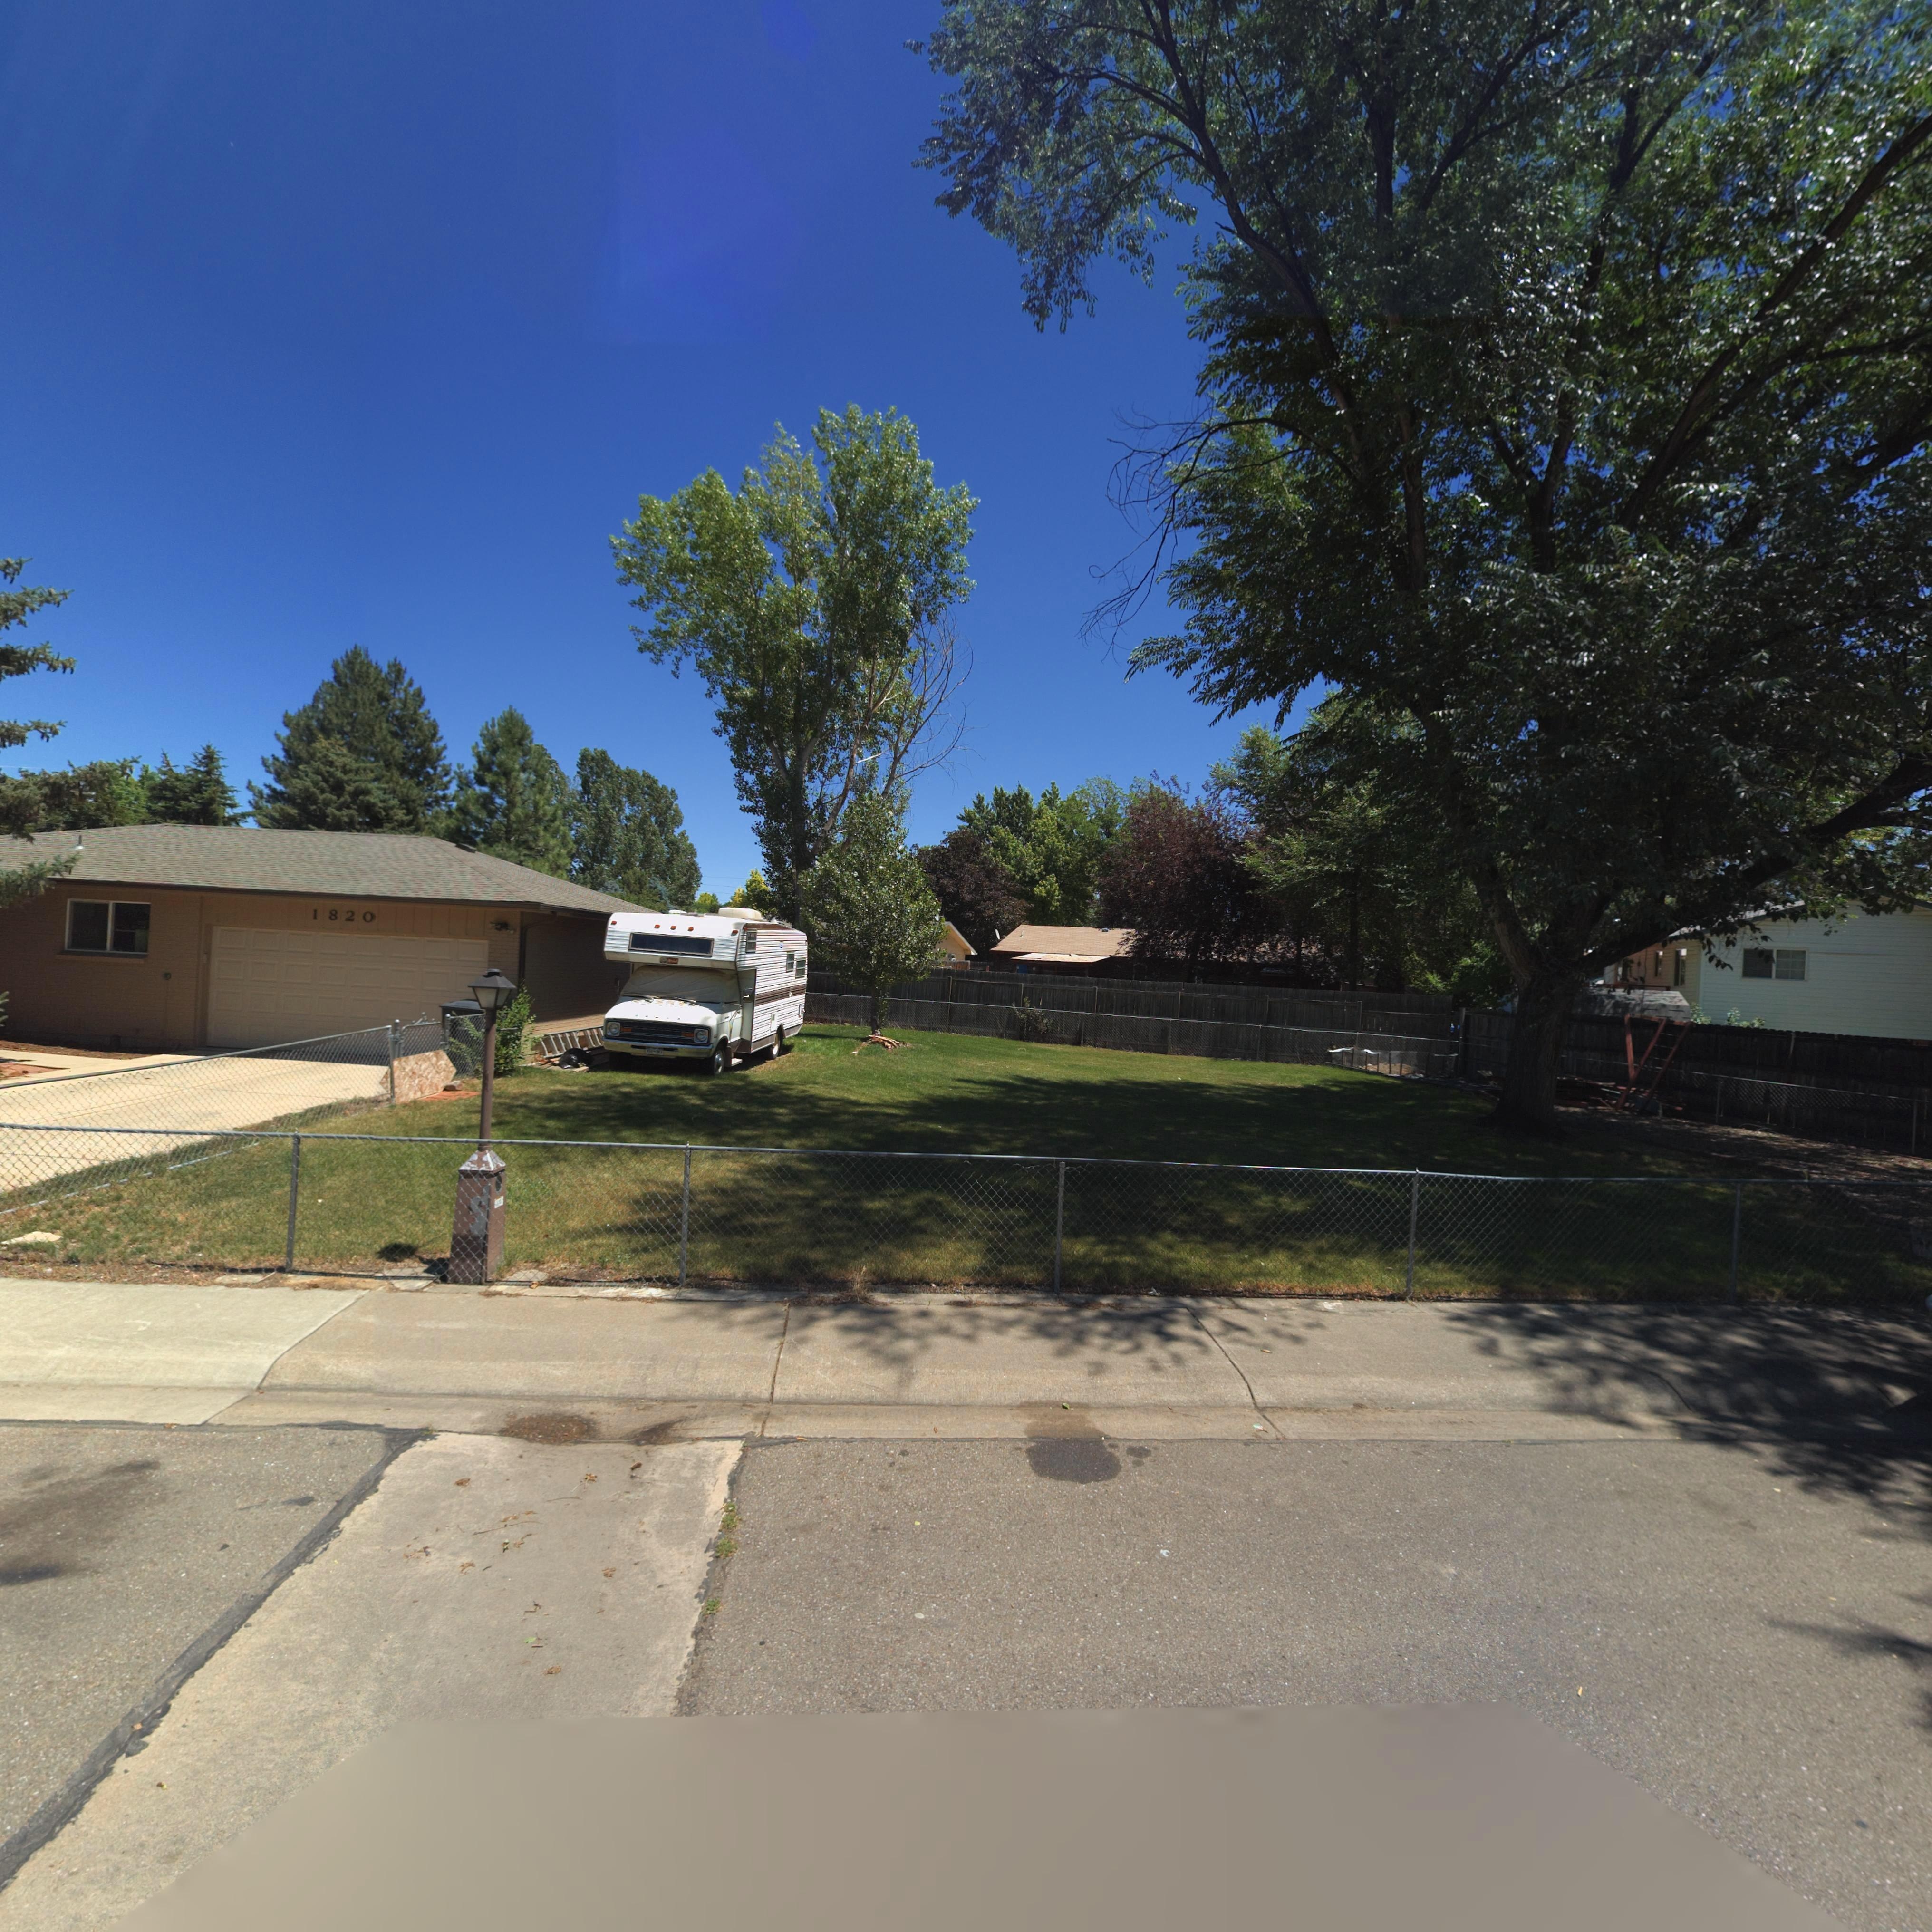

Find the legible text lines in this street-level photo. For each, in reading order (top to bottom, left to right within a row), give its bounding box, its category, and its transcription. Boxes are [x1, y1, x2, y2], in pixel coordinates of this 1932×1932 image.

[312, 909, 374, 923] StreetNumber: 1820